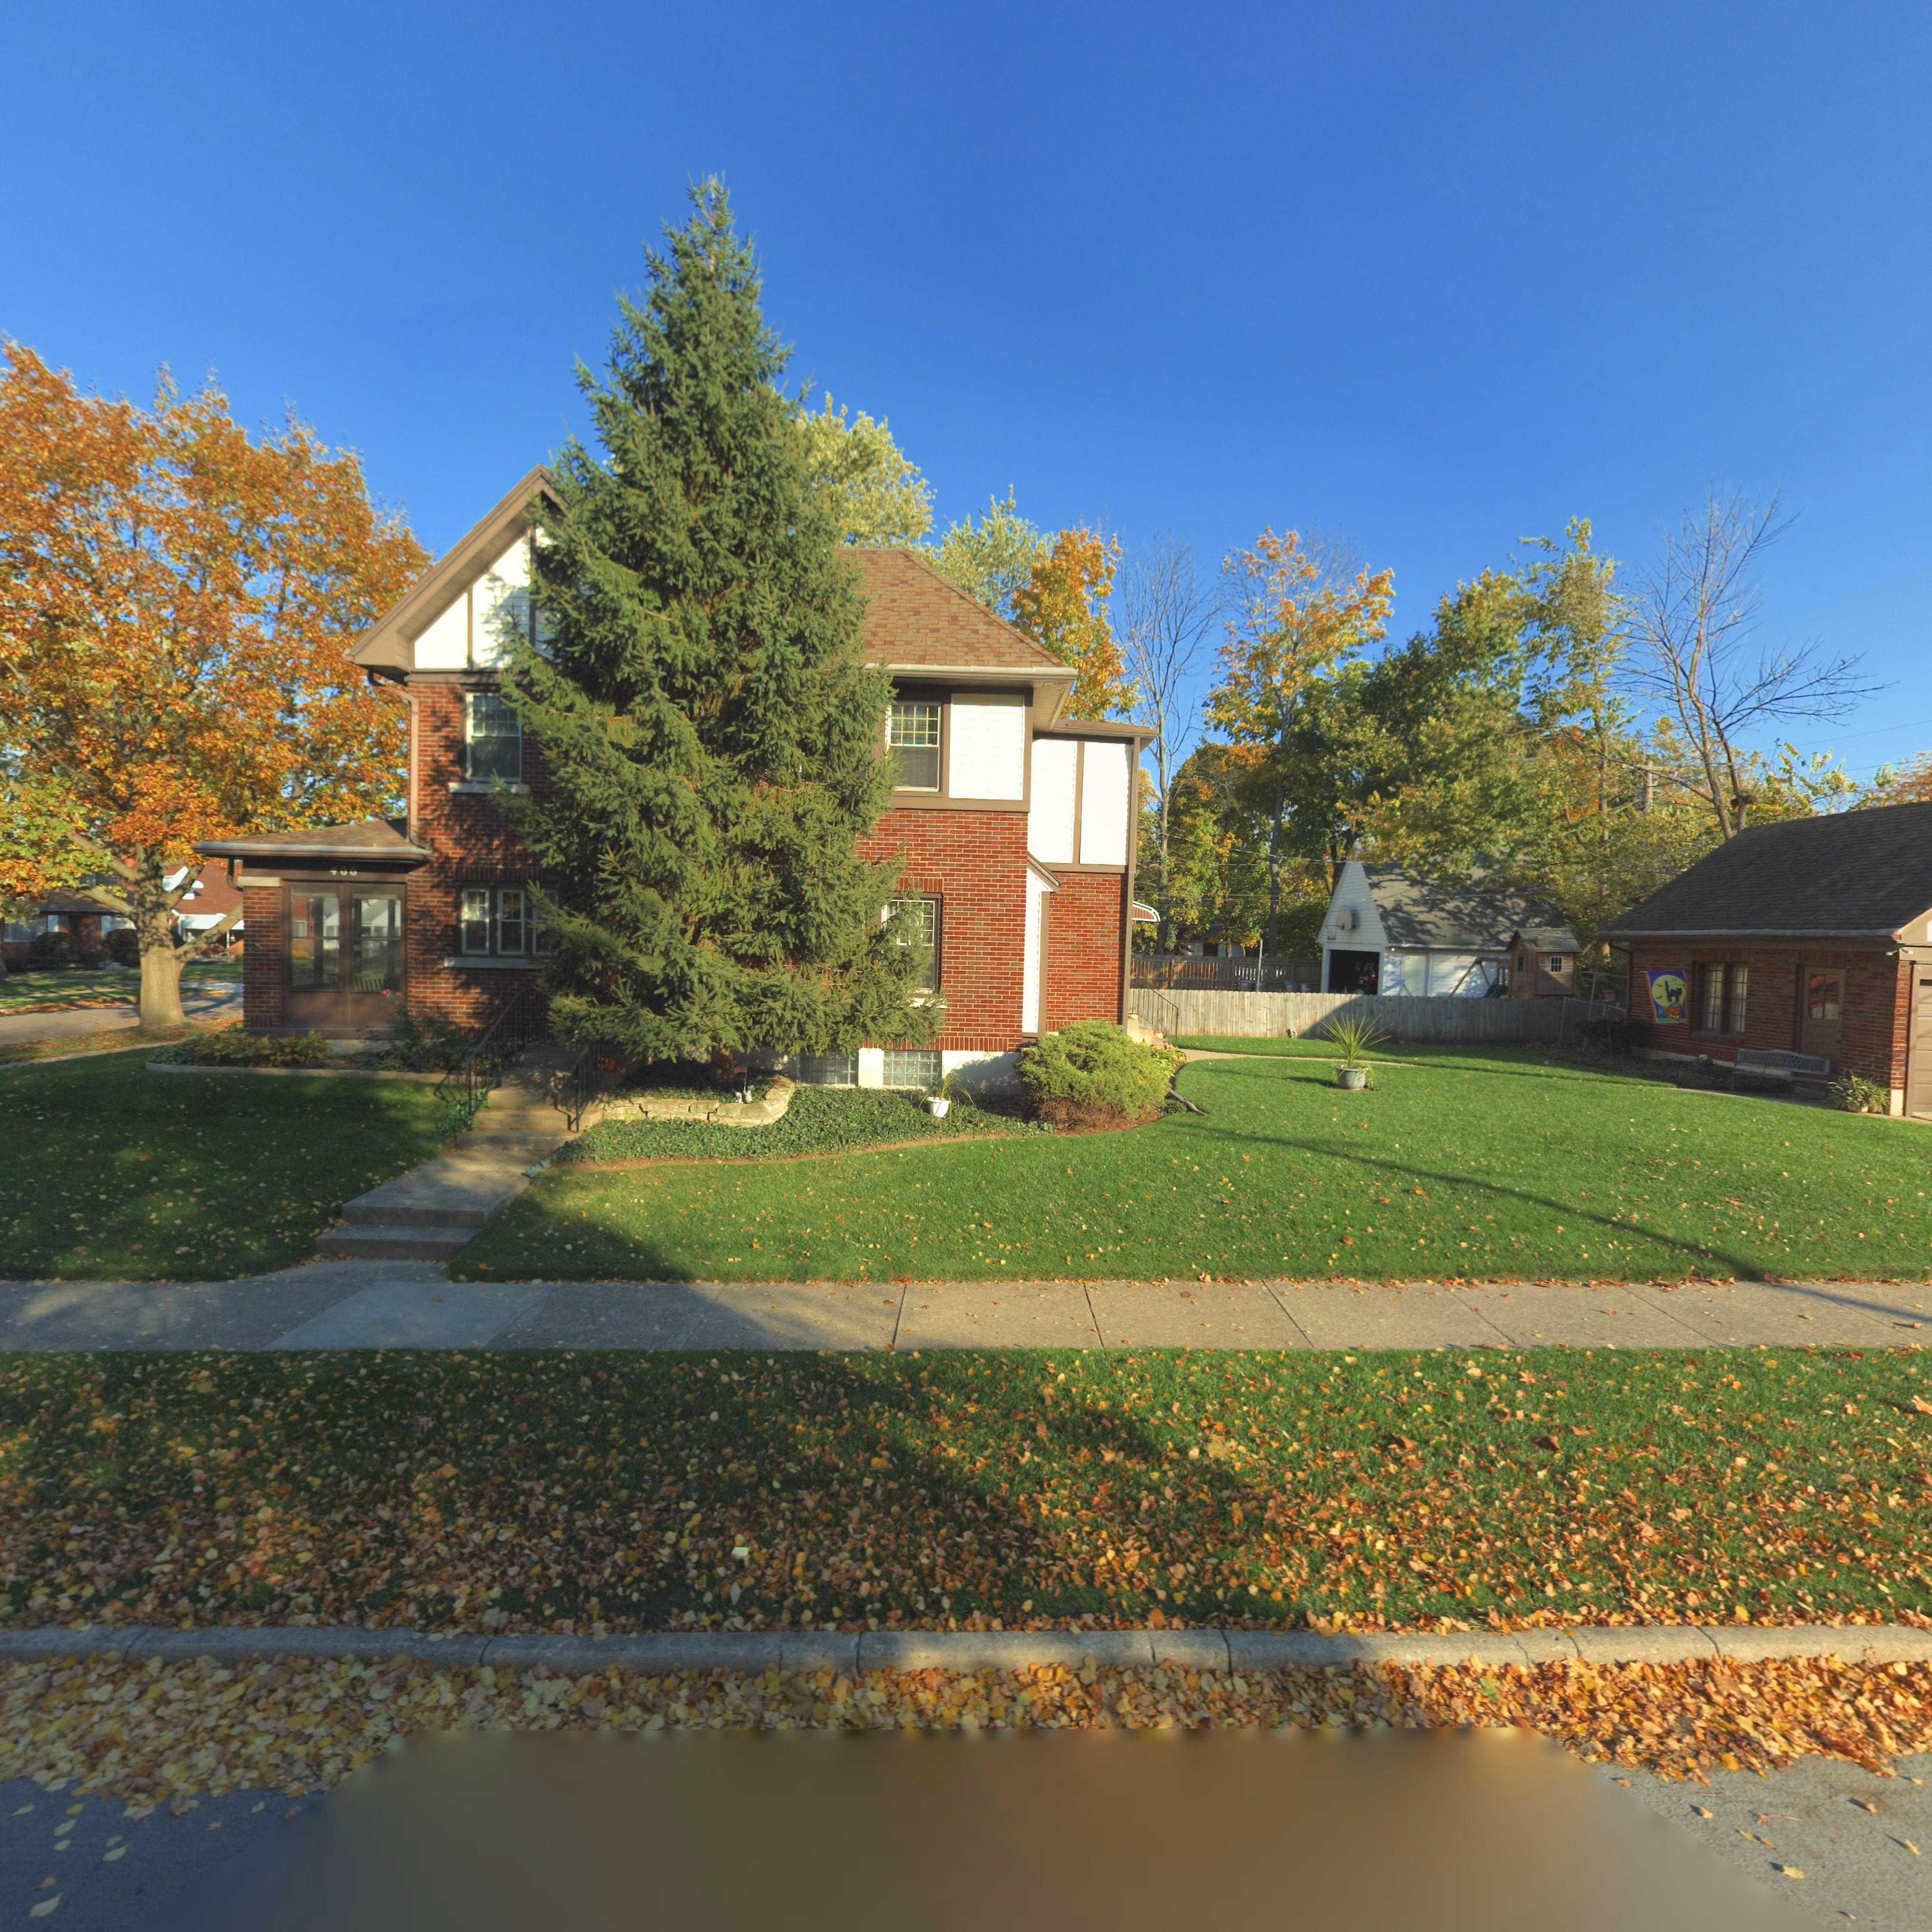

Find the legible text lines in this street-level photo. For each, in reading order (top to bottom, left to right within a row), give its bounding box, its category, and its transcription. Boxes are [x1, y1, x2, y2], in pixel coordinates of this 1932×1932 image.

[328, 864, 359, 877] StreetNumber: 400